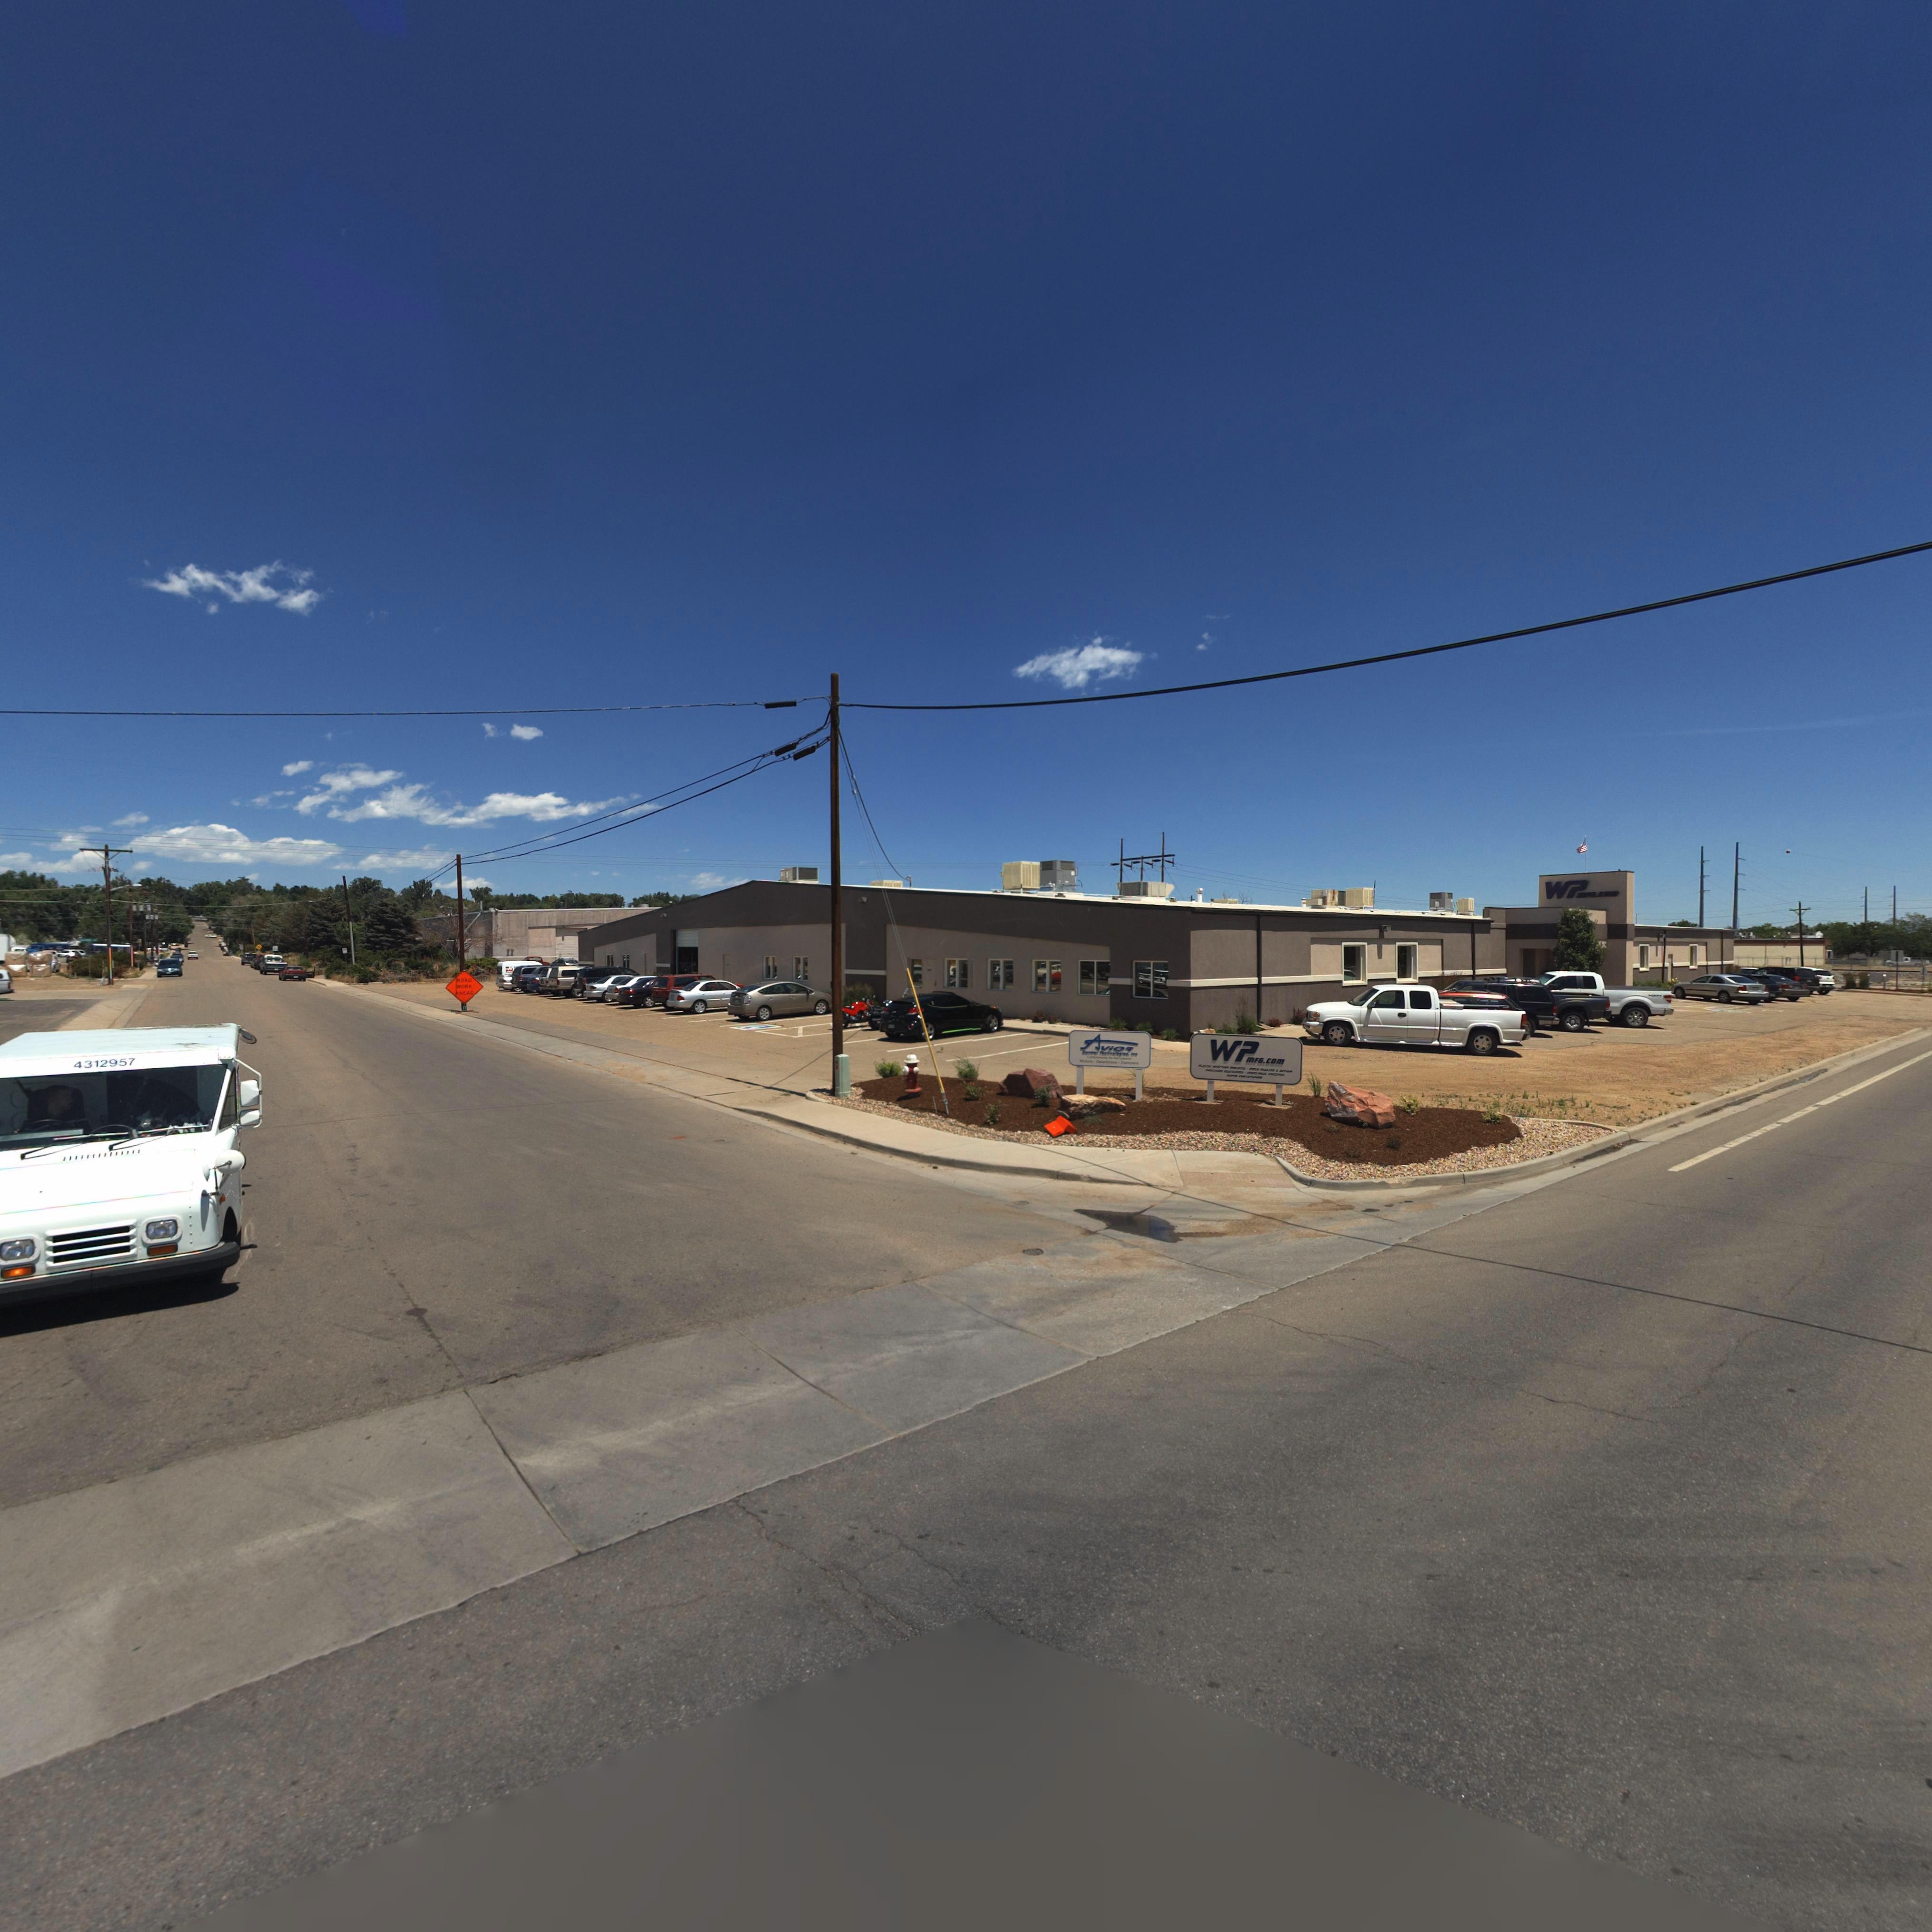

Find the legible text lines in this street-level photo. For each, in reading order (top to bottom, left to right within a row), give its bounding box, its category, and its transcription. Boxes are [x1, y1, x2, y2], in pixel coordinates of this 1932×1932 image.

[1544, 879, 1589, 899] BusinessName: WP
[1079, 1033, 1134, 1053] BusinessName: AVIOR
[1209, 1038, 1260, 1062] BusinessName: WP
[1245, 1056, 1285, 1065] BusinessName: MFG.COM